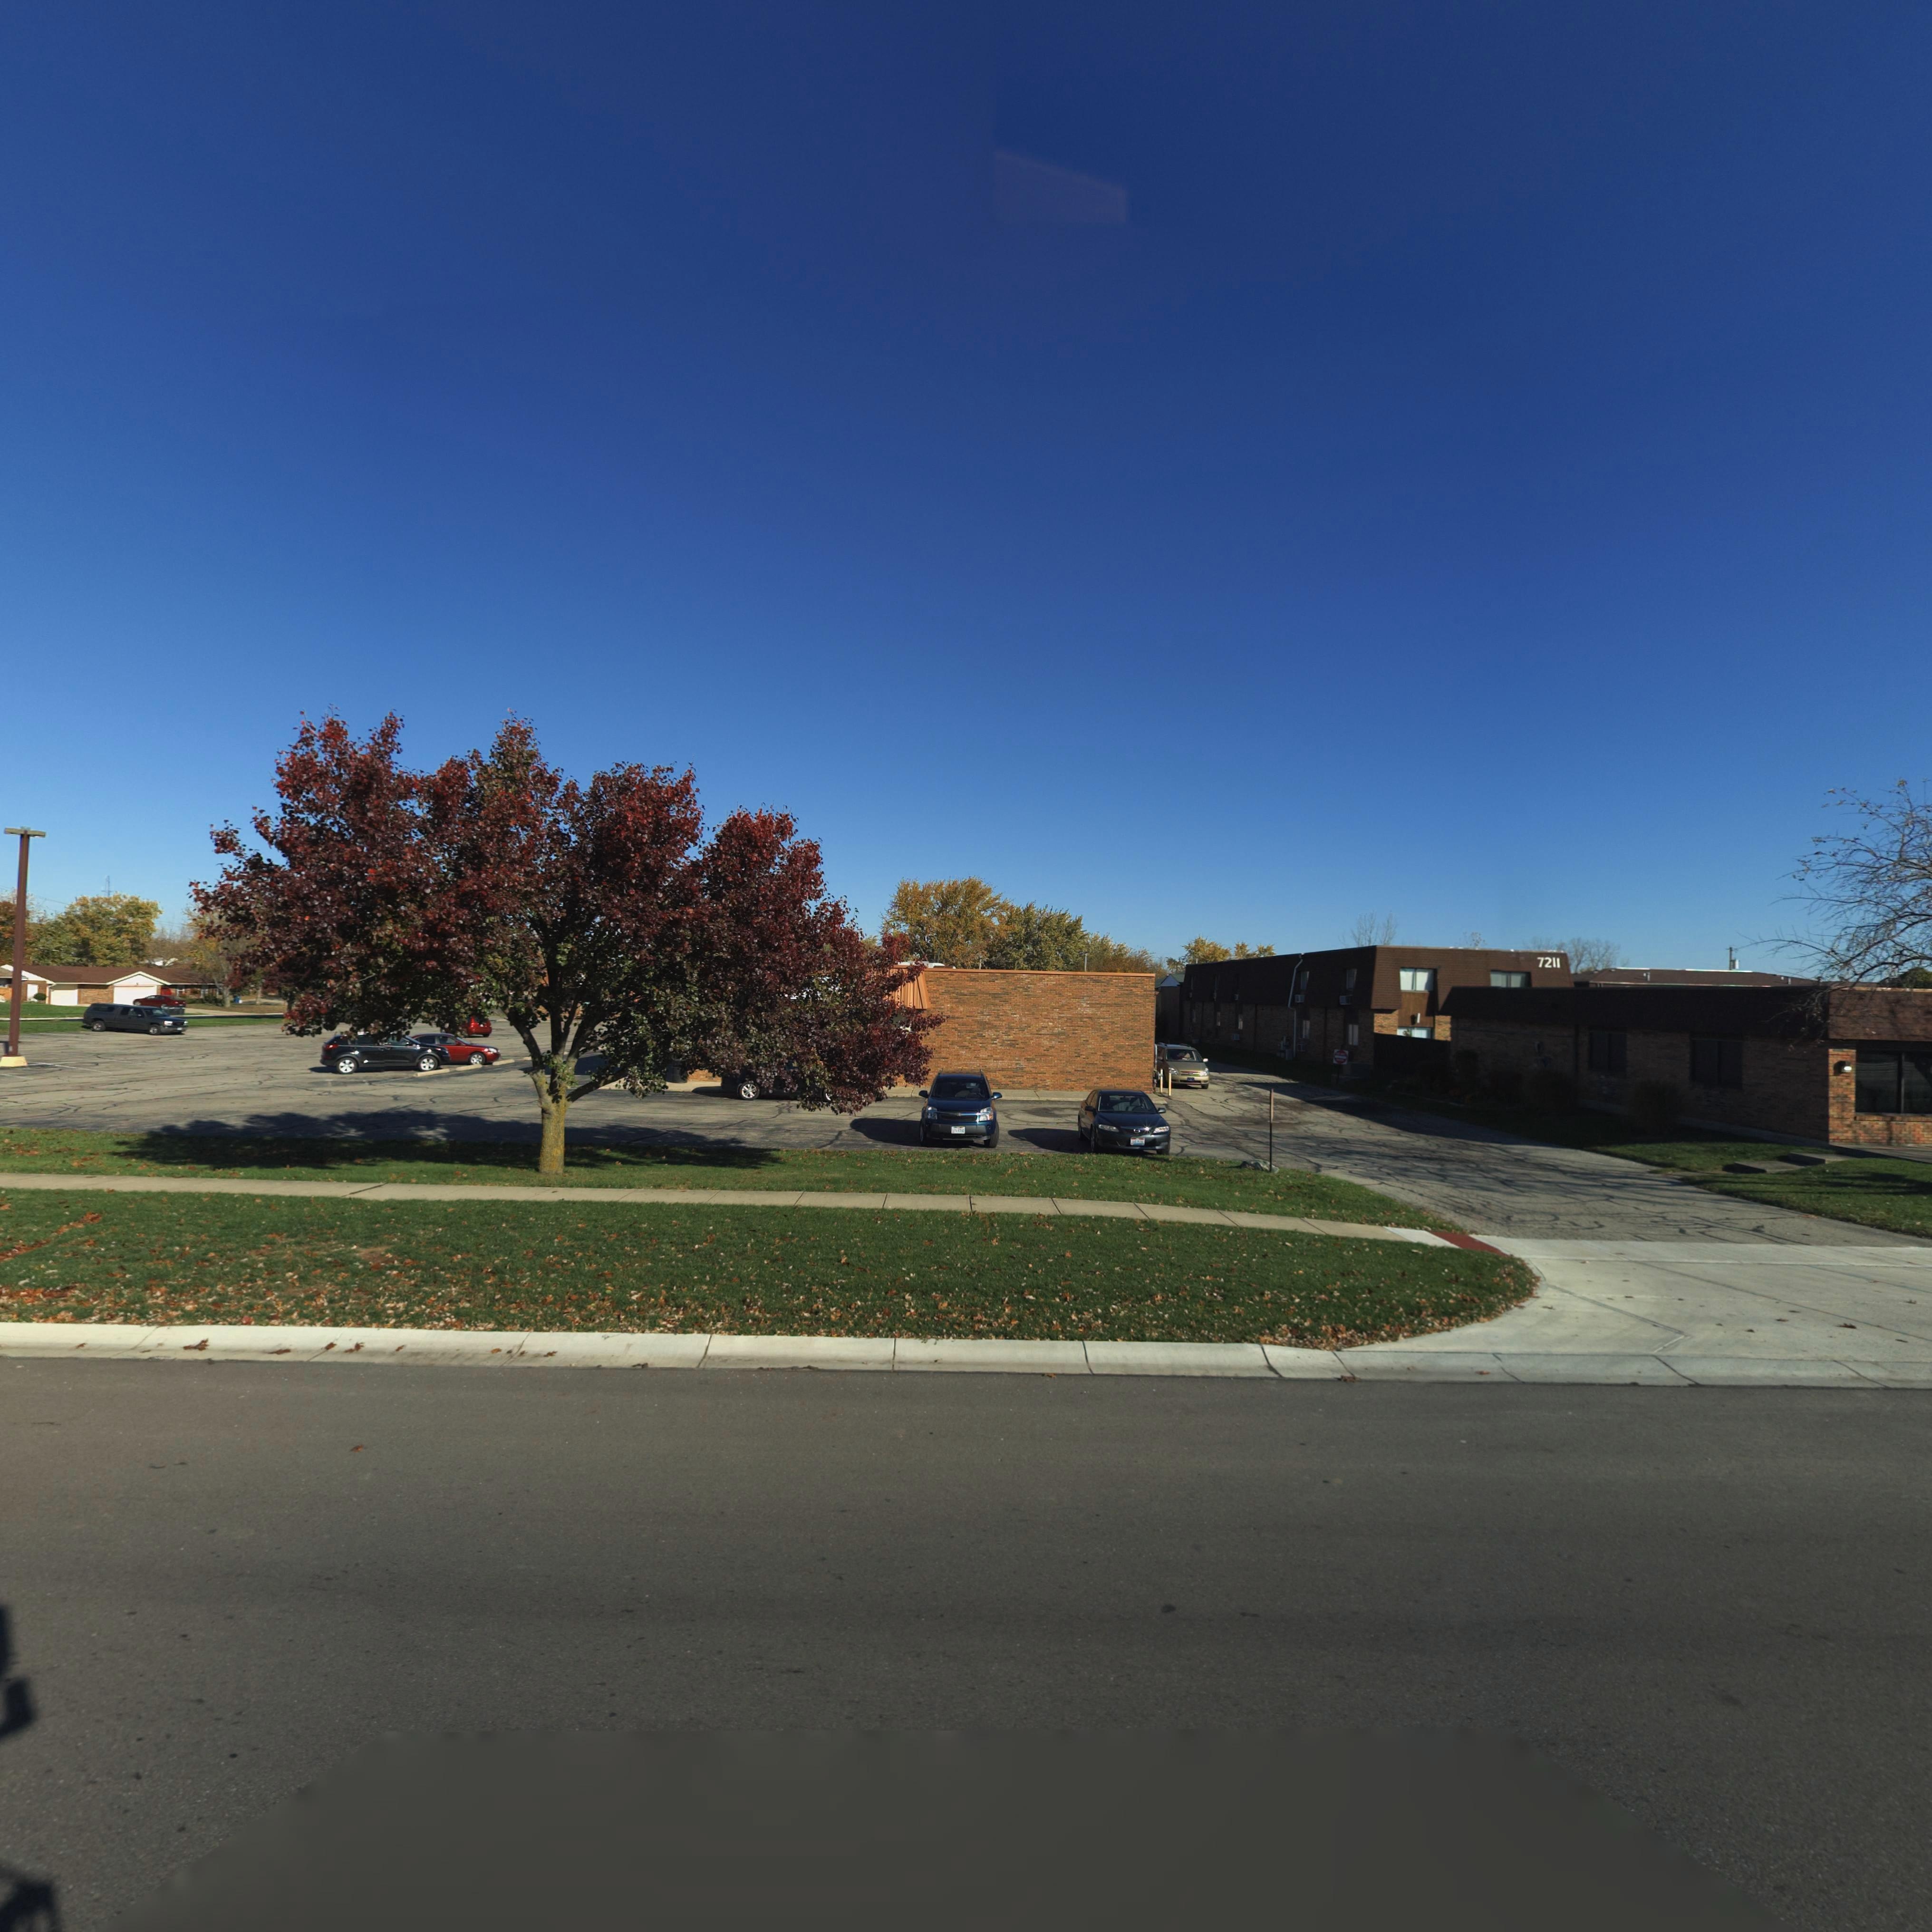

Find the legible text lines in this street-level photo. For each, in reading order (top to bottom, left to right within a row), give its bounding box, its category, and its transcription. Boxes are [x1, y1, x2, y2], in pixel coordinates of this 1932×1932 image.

[1535, 956, 1562, 969] StreetNumber: 7211